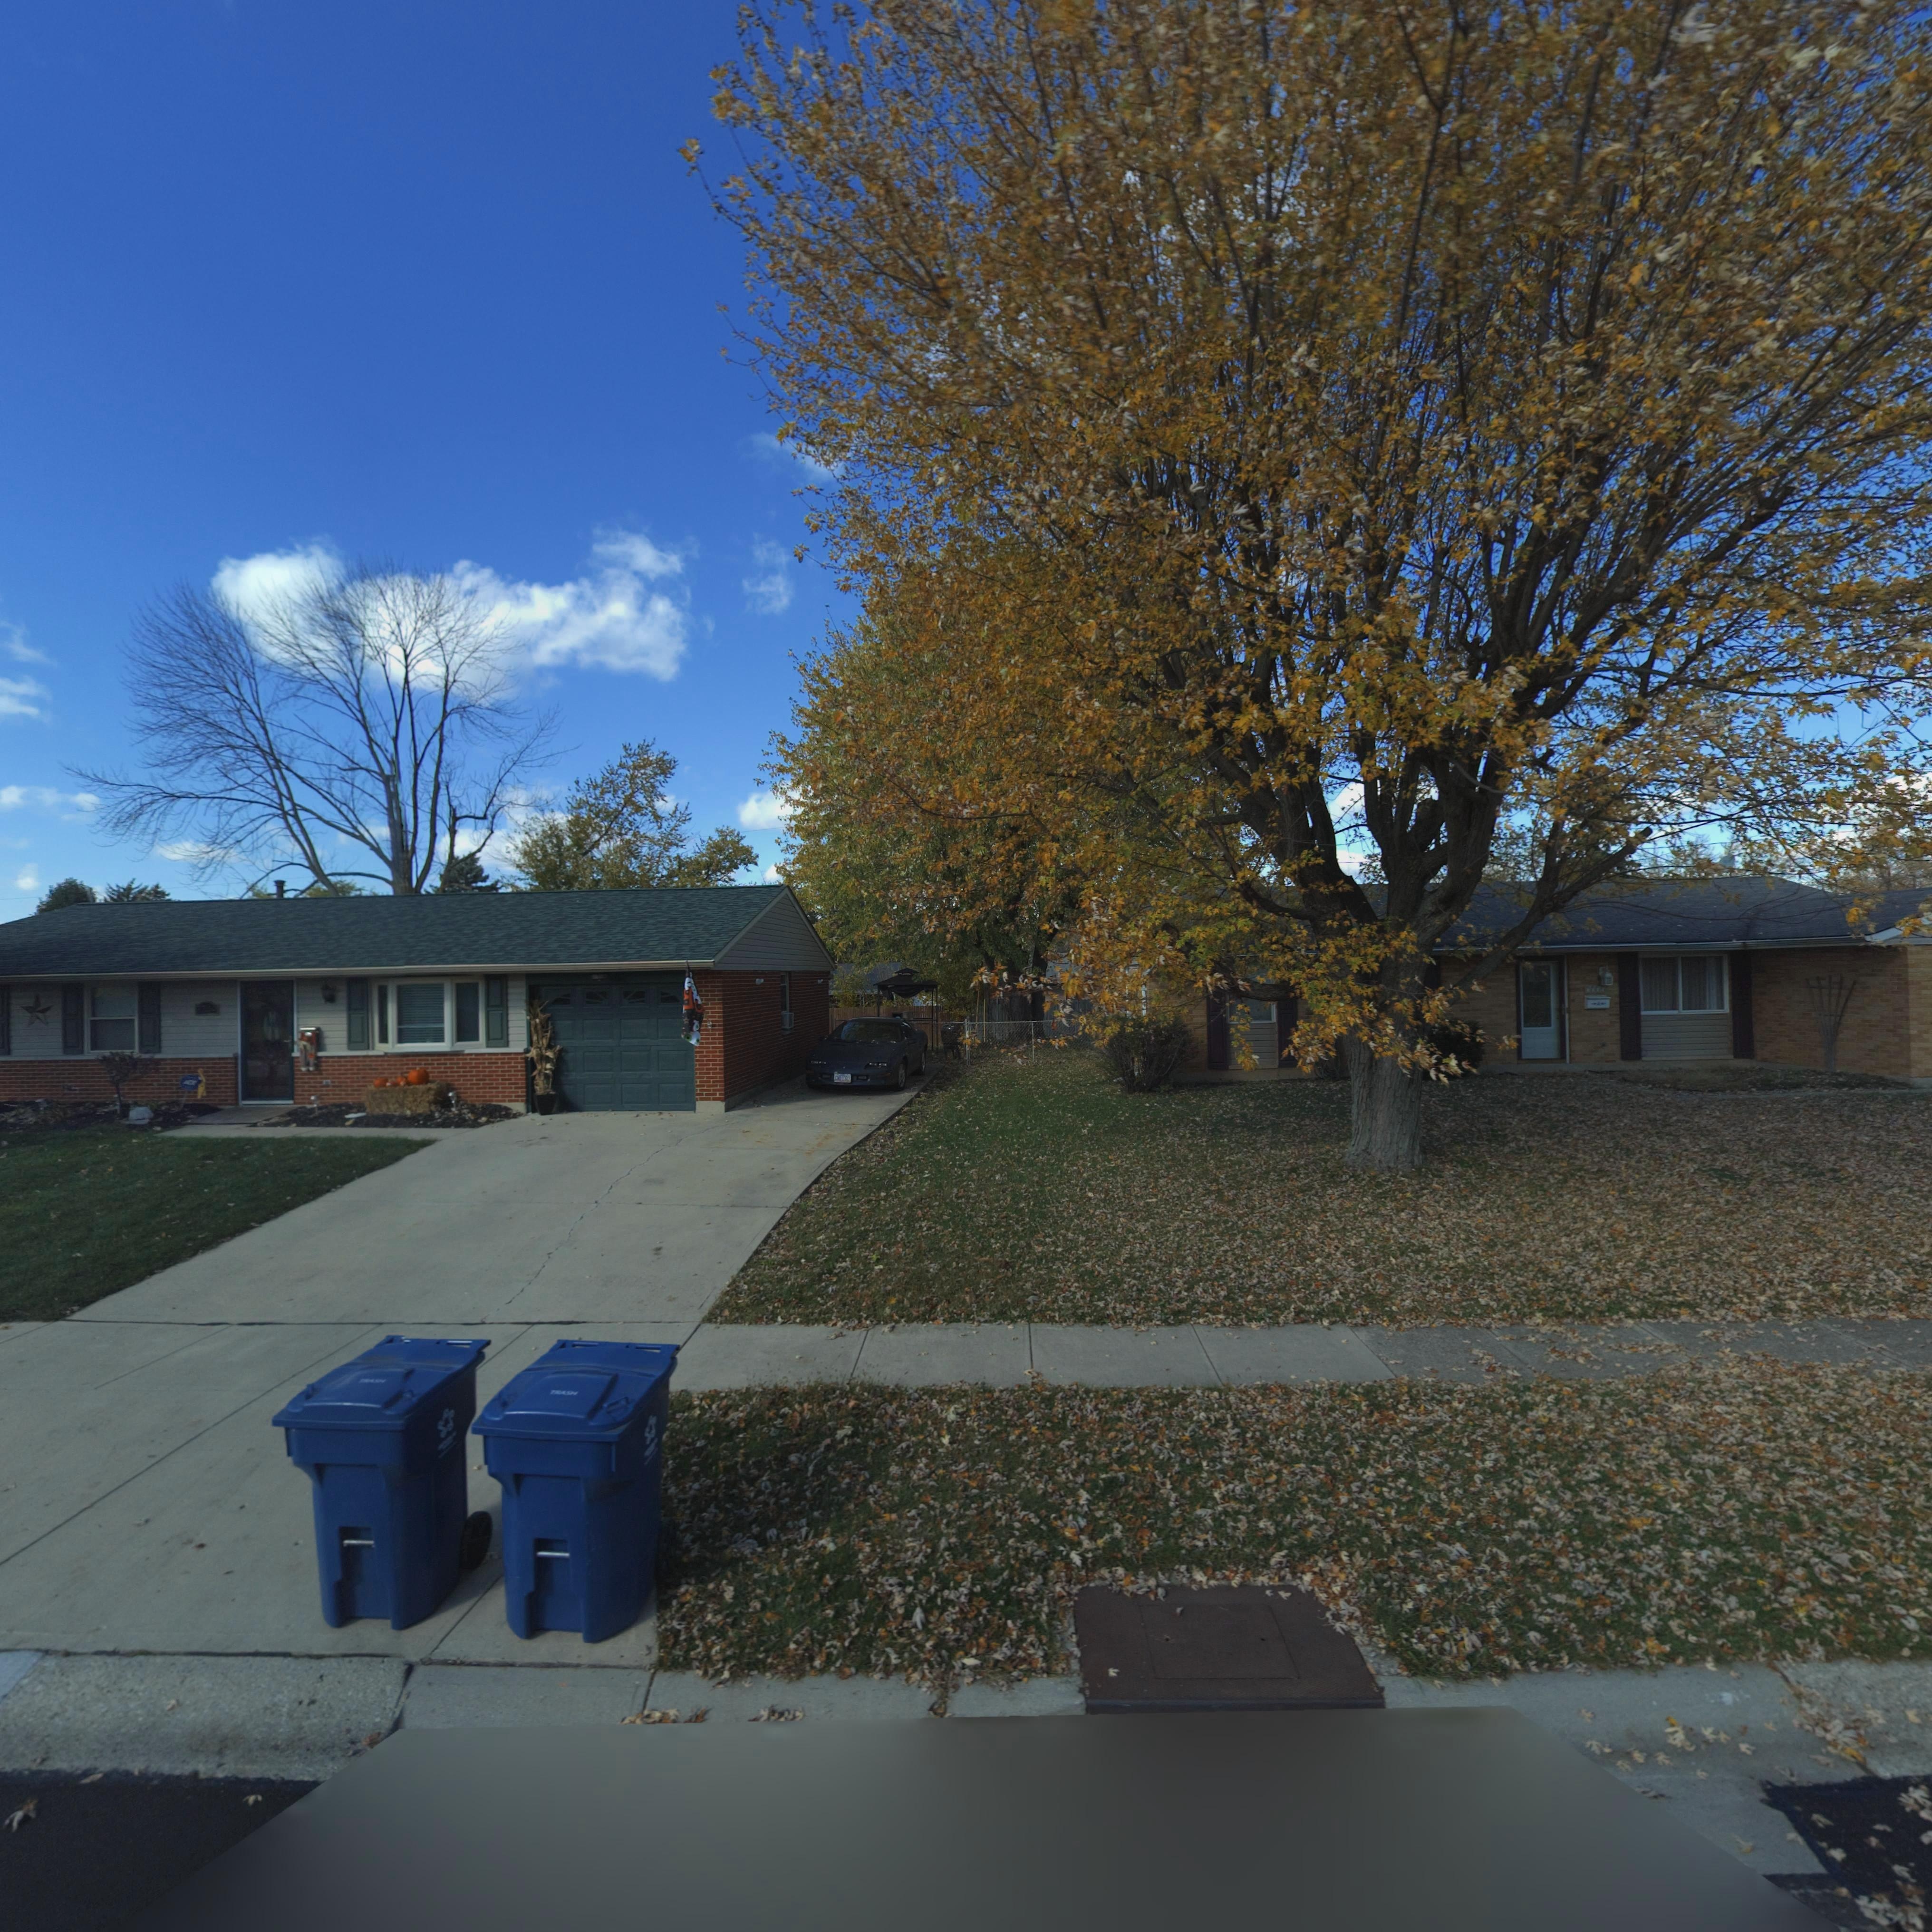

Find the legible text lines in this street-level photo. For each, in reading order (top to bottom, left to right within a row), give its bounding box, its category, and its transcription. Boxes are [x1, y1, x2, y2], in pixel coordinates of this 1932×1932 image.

[195, 1005, 217, 1013] StreetNumber: 77**